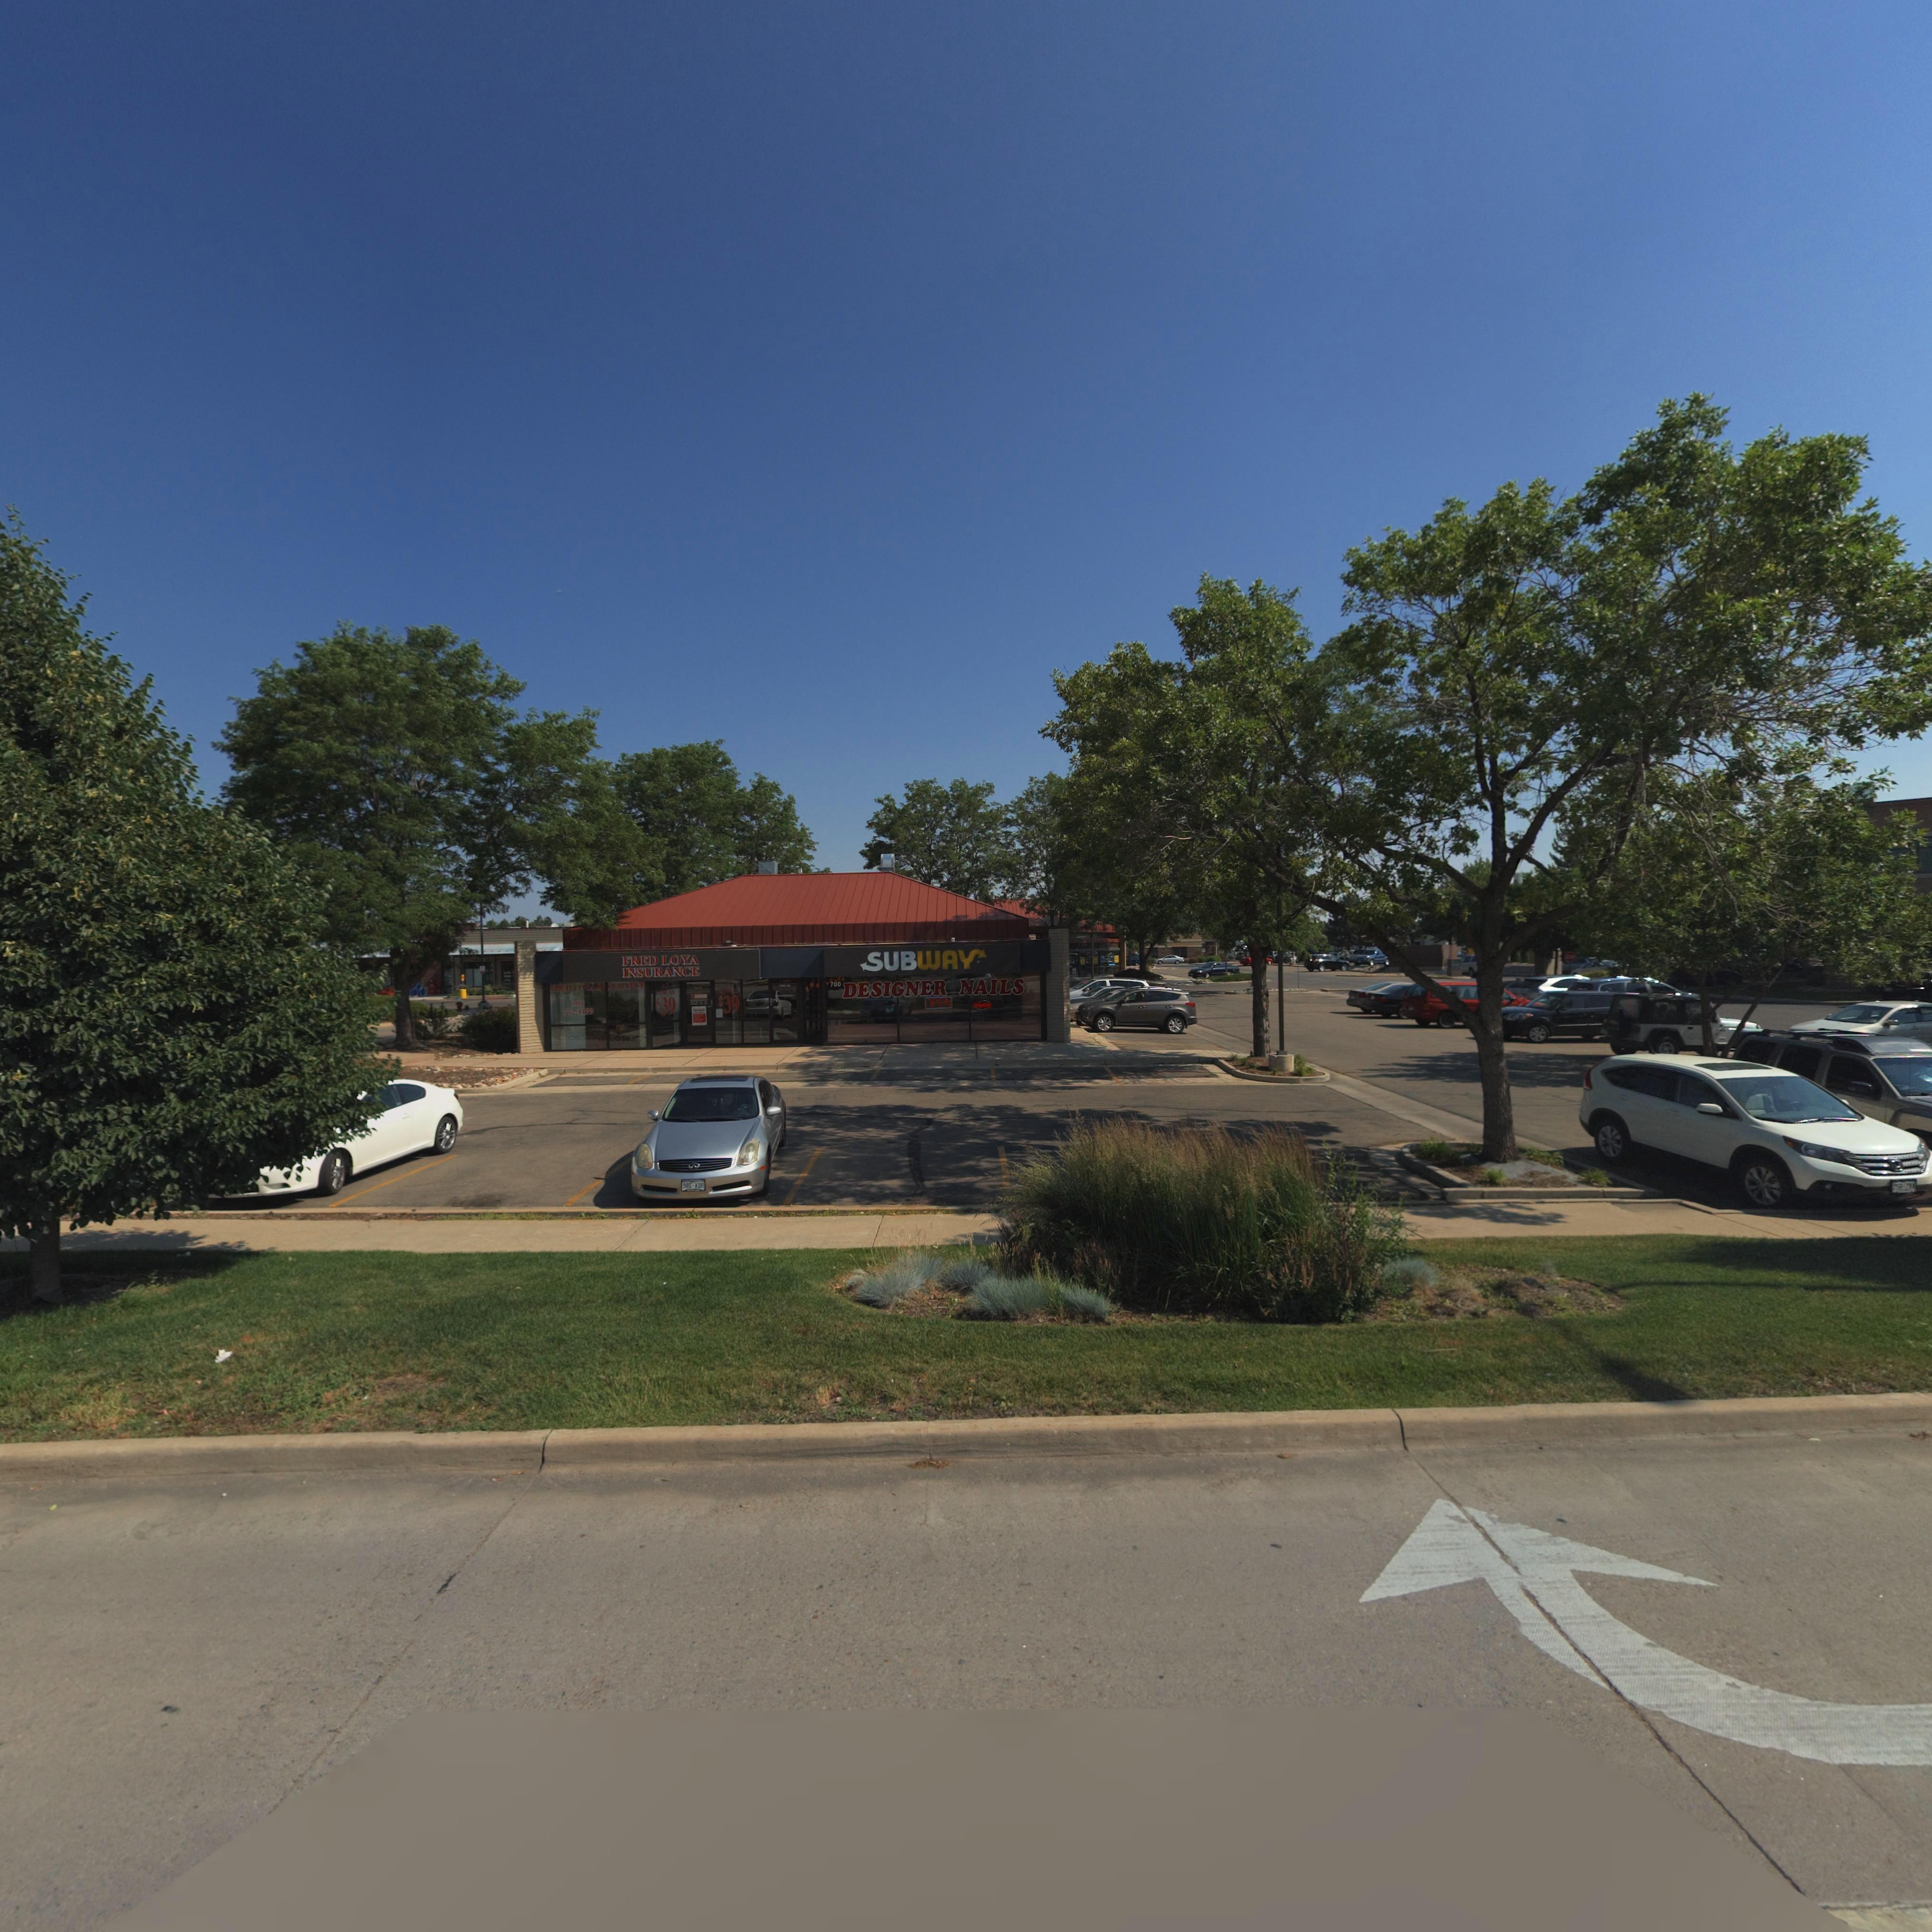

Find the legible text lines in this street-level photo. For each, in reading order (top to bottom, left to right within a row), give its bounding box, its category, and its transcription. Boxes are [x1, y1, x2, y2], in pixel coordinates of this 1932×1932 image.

[621, 954, 700, 966] BusinessName: FRED LOYA
[859, 948, 987, 972] BusinessName: SUBWAY
[621, 966, 700, 978] BusinessName: INSURANCE
[551, 982, 645, 992] BusinessName: FRED LO*A ***URANC*
[830, 981, 841, 987] StreetNumber: 700
[841, 977, 1025, 999] BusinessName: DESIGNER NAILS